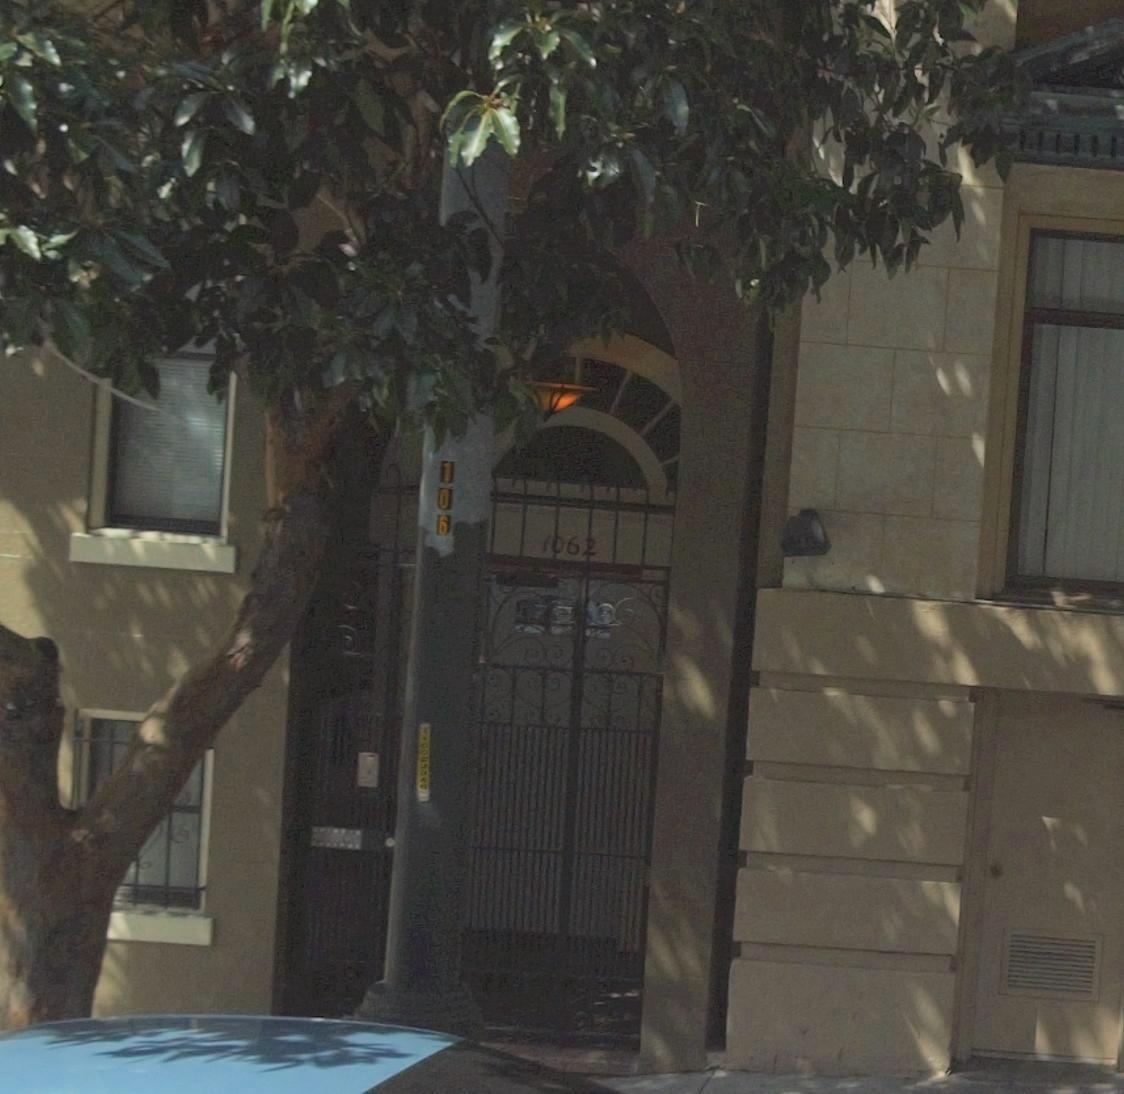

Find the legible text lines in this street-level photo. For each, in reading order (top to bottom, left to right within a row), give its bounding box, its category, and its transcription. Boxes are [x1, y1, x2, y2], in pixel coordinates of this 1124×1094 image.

[436, 460, 455, 536] None: 106
[538, 532, 601, 559] StreetNumber: 1062